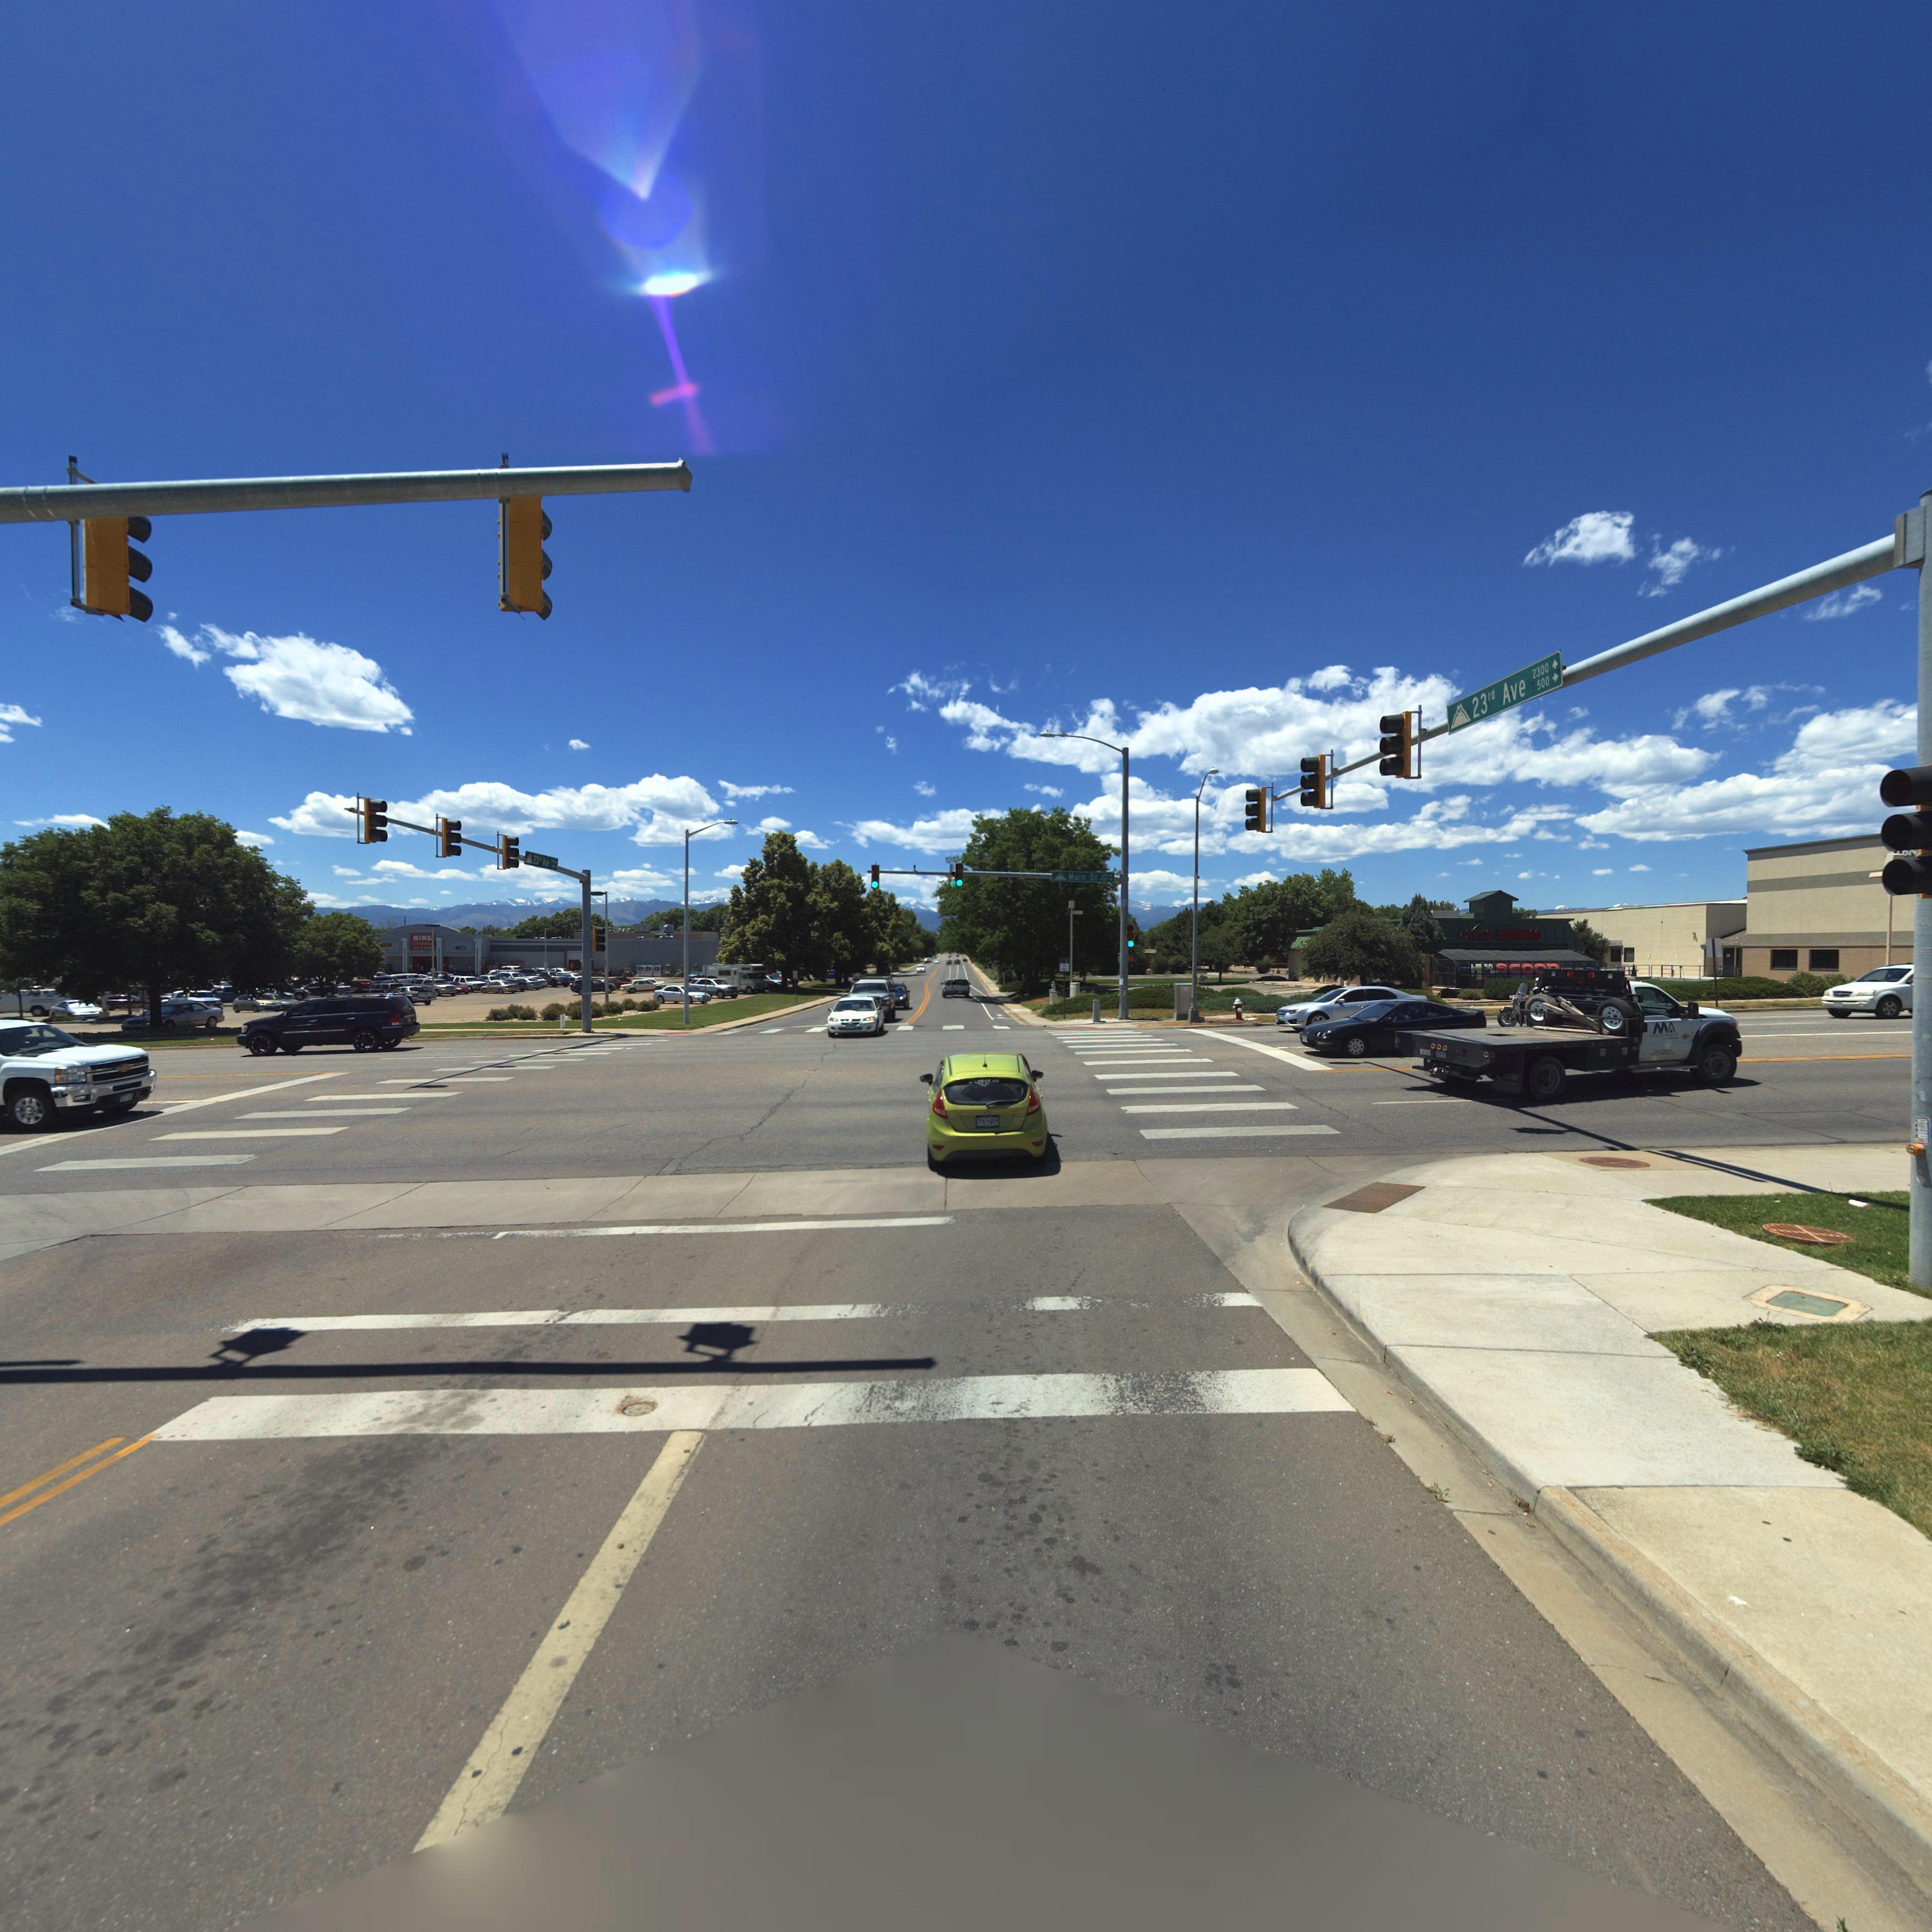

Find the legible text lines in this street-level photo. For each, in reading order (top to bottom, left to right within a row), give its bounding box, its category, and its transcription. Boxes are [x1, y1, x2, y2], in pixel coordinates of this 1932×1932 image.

[1532, 662, 1549, 679] StreetNumberRange: 2300
[1536, 672, 1559, 691] StreetNumberRange: 500->
[1471, 679, 1526, 719] StreetName: 23rd Ave
[532, 855, 550, 868] StreetName: 23** Ave
[1068, 873, 1098, 881] StreetName: Main St
[1099, 877, 1113, 881] StreetNumberRange: ***0->
[413, 940, 432, 946] BusinessName: S******
[413, 935, 432, 940] BusinessName: KING
[1459, 923, 1542, 940] BusinessName: A** B******